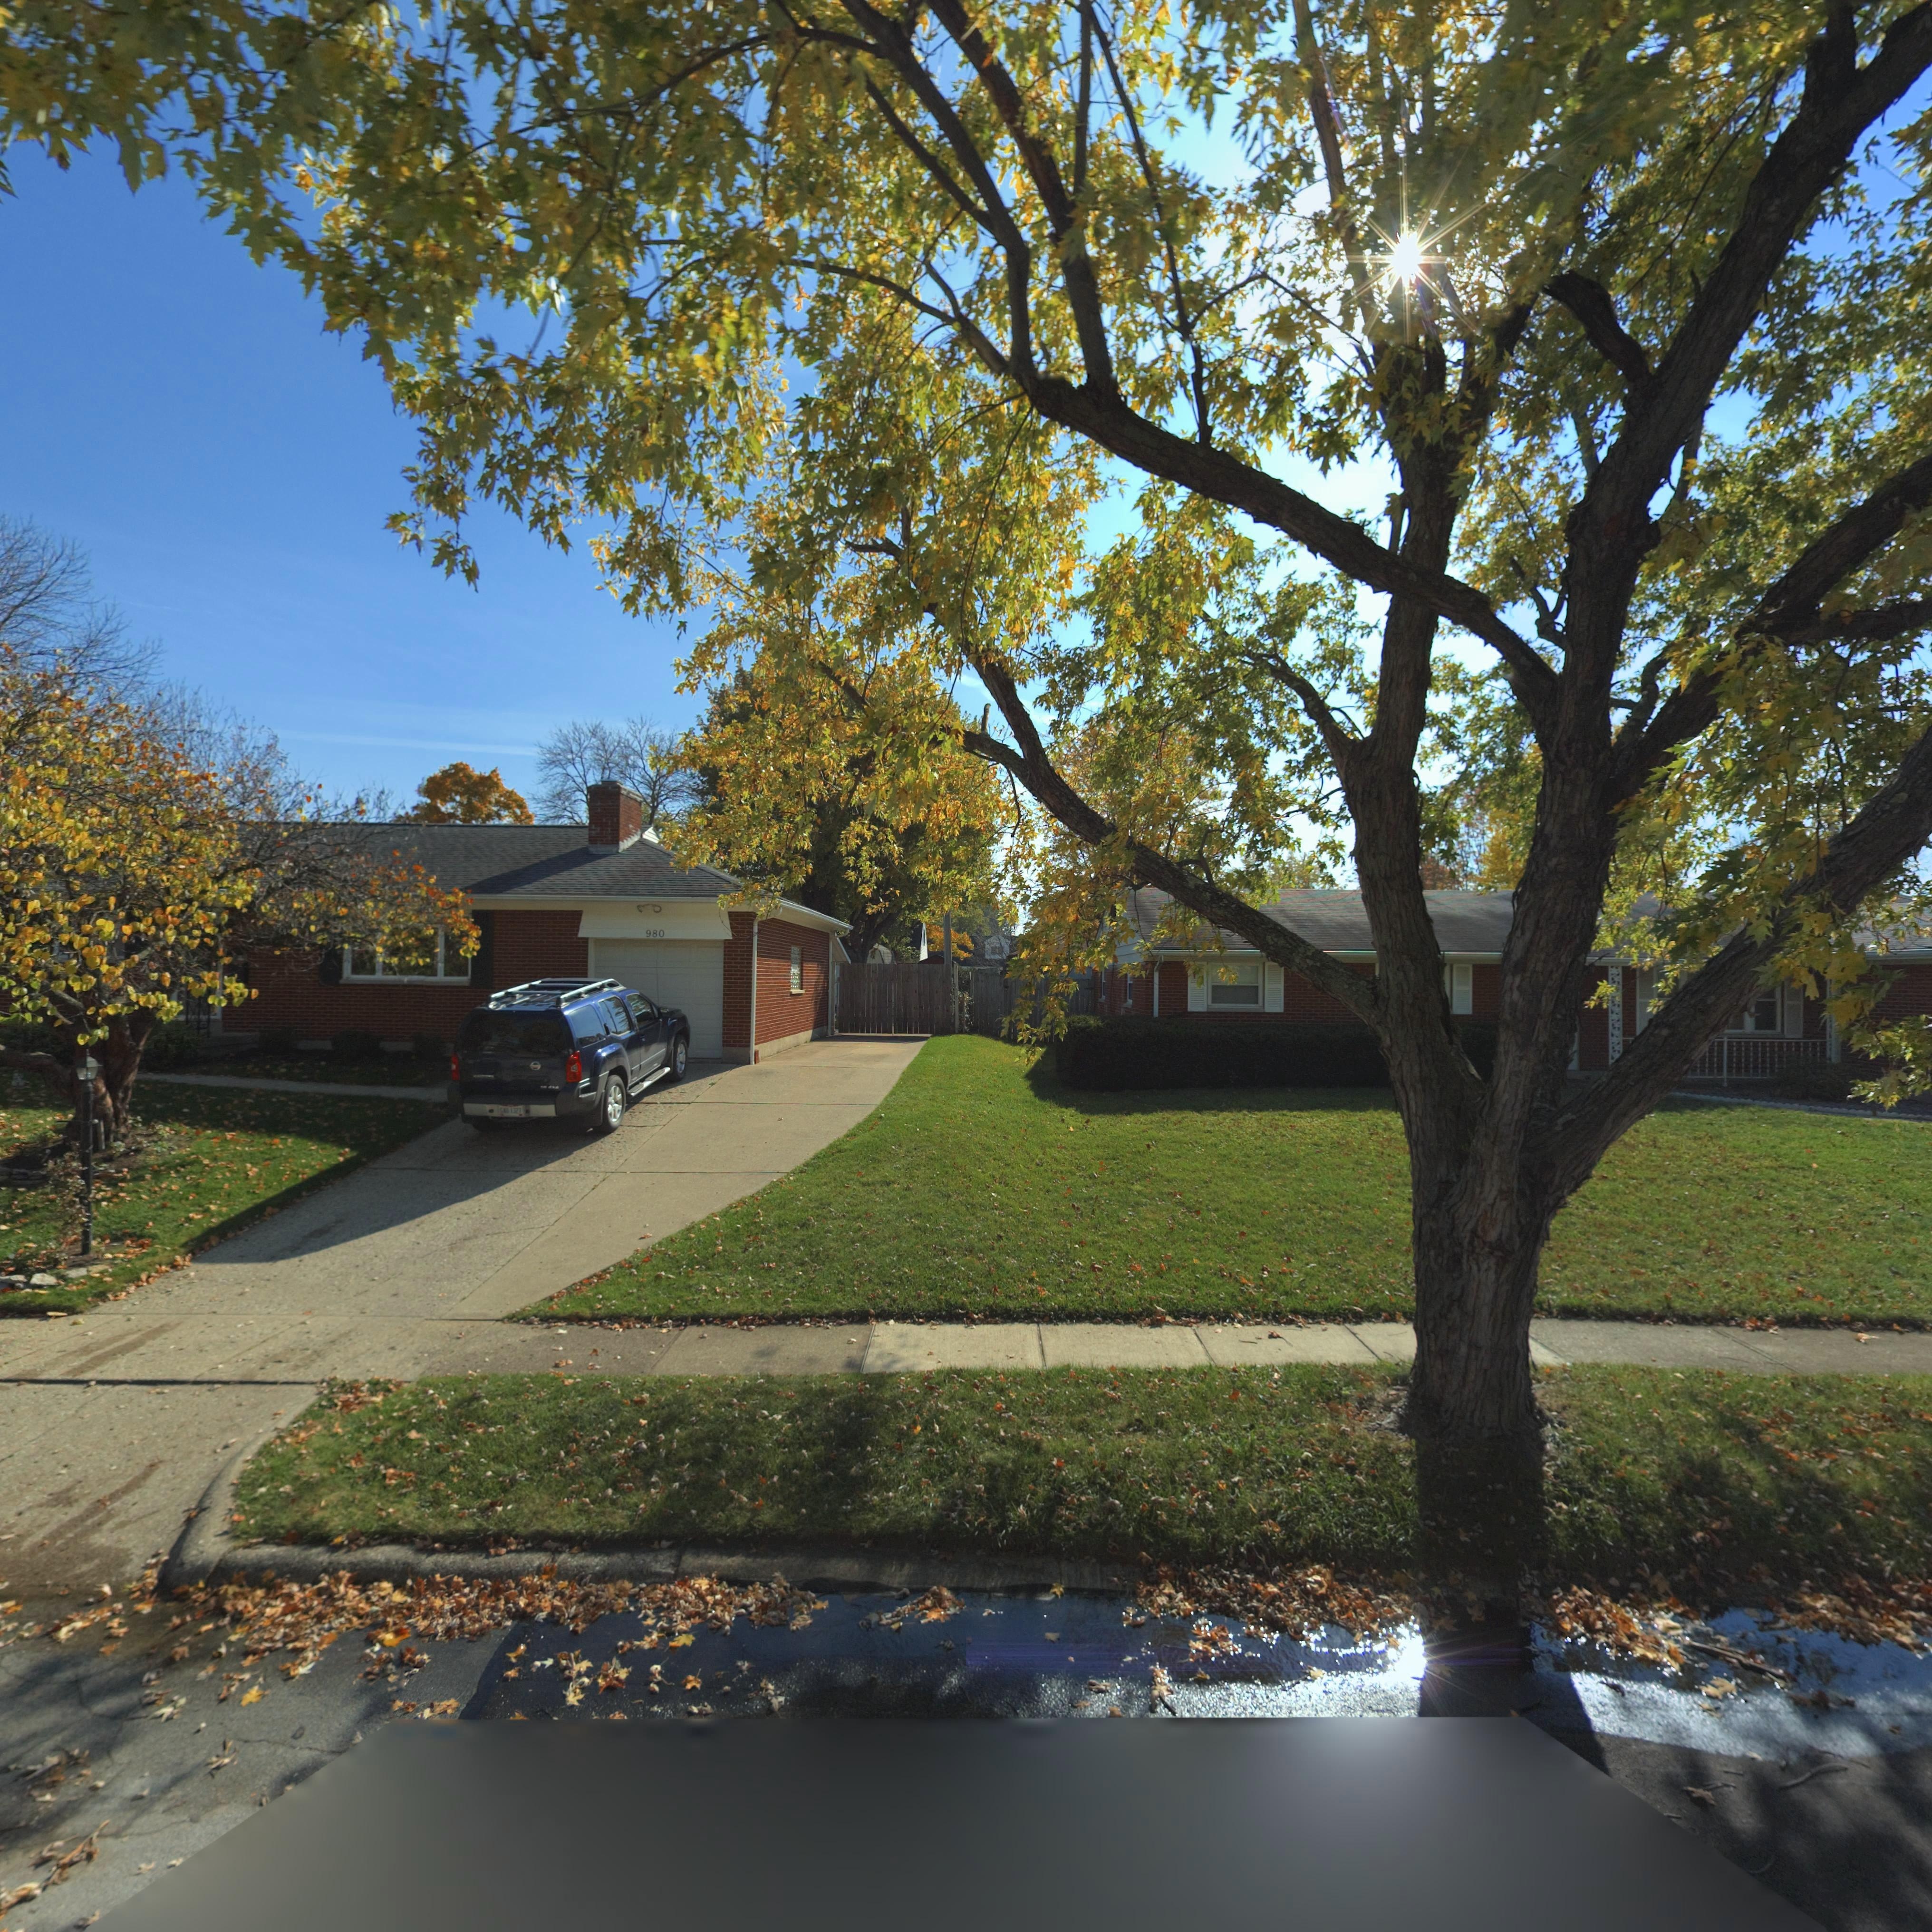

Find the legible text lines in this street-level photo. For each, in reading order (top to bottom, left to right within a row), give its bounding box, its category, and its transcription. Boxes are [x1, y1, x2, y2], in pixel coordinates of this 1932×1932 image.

[645, 928, 666, 938] StreetNumber: 980